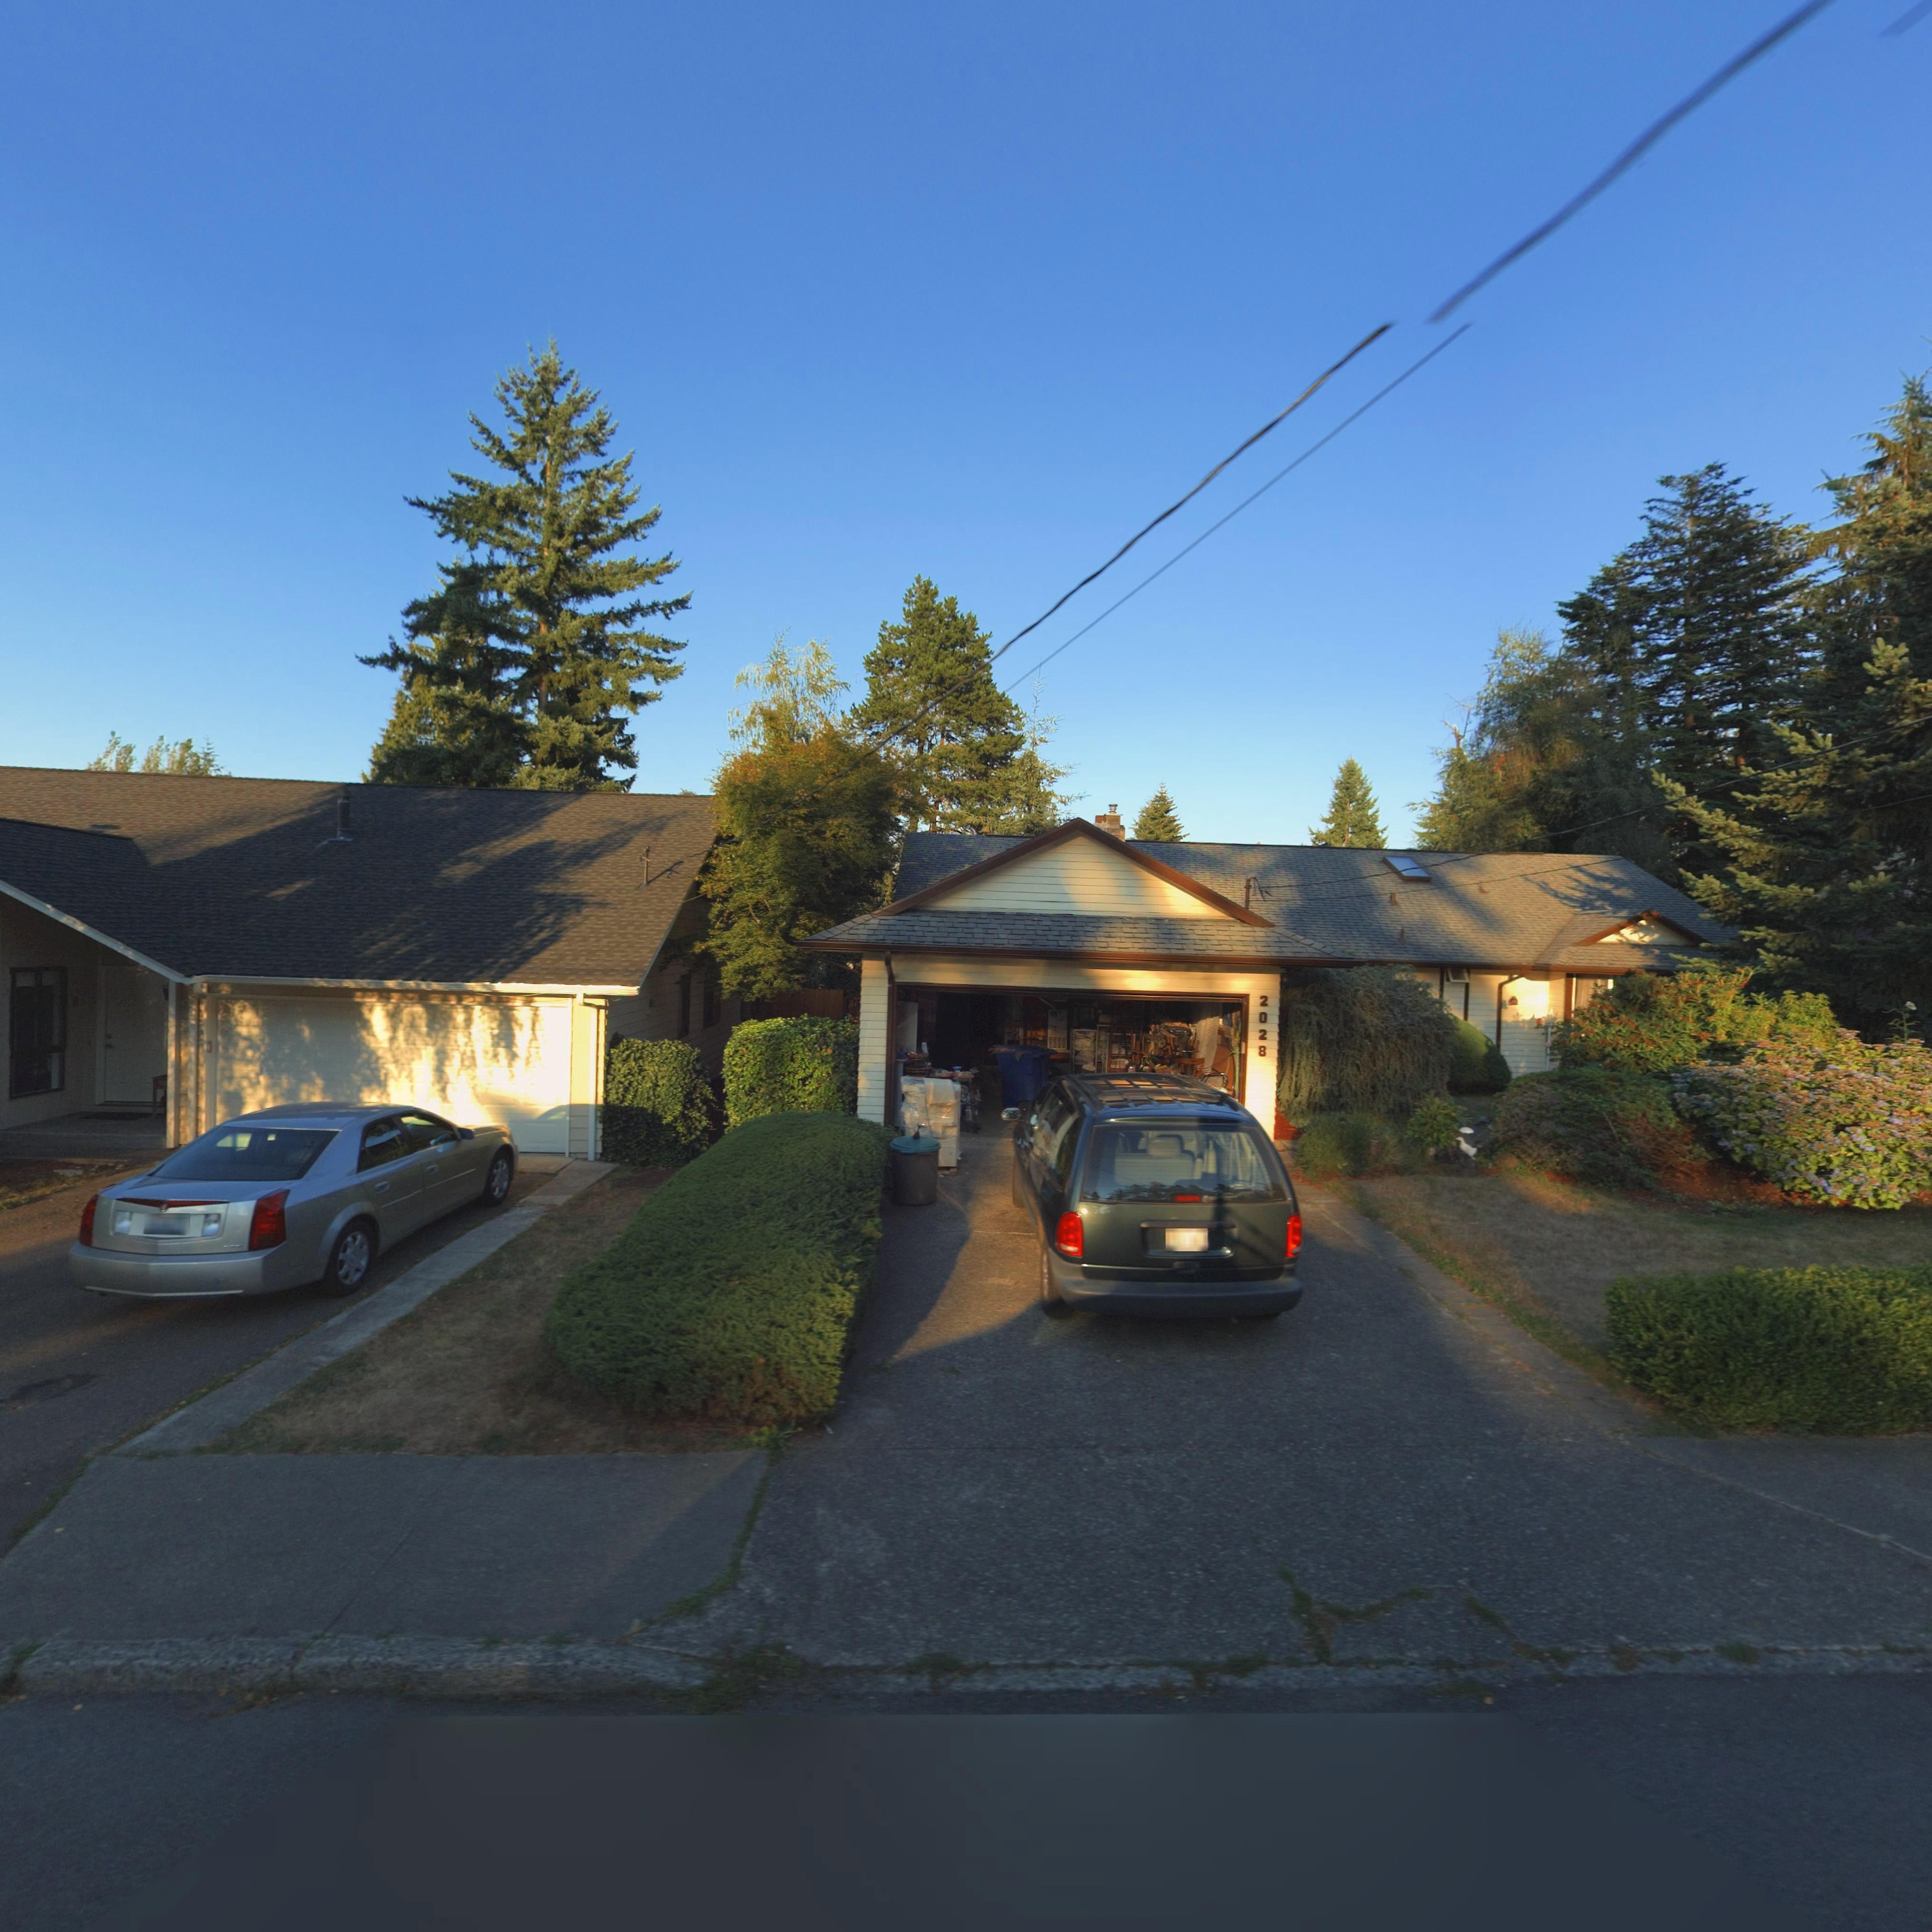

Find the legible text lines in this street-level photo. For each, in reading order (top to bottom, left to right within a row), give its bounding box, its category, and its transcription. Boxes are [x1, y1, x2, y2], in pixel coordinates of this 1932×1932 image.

[1252, 993, 1272, 1058] StreetNumber: 2028